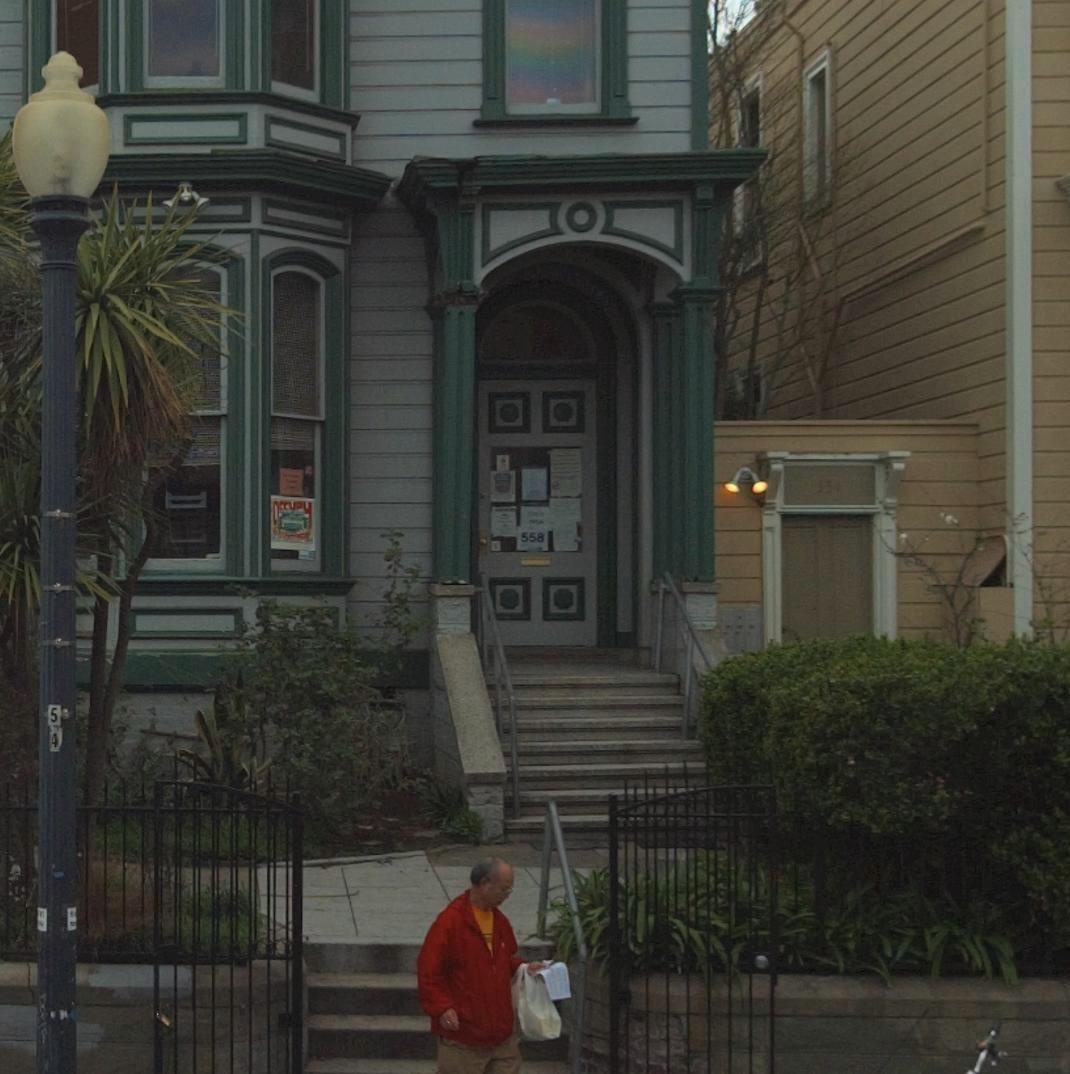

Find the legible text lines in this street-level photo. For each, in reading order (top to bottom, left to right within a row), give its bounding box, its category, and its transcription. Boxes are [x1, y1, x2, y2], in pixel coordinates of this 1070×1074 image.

[816, 479, 843, 494] StreetNumber: 554
[279, 501, 303, 511] None: CCUP
[520, 531, 545, 543] StreetNumber: 558
[49, 705, 58, 749] None: 54